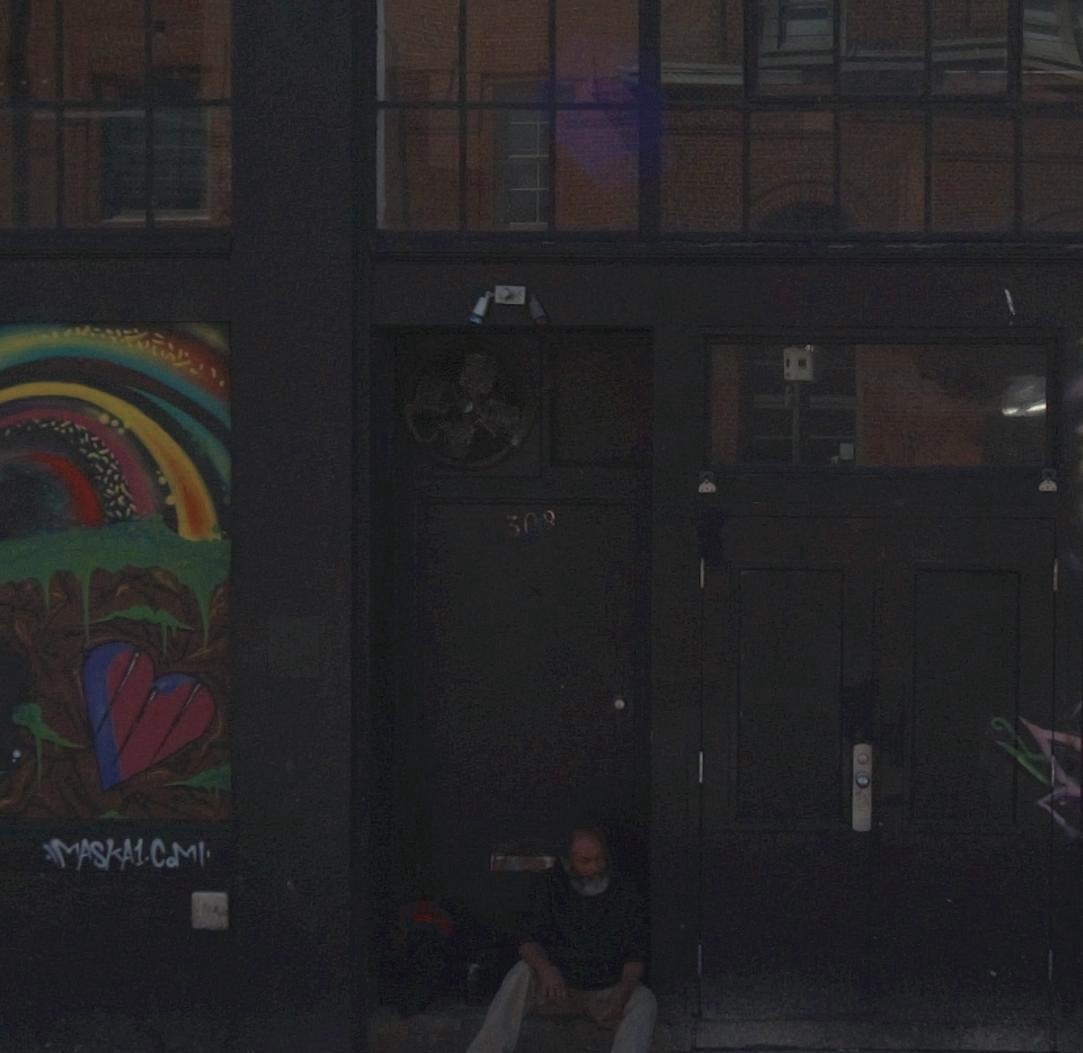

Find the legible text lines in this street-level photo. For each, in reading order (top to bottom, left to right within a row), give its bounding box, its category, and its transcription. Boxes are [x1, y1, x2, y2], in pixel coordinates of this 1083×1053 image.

[503, 507, 561, 543] StreetNumber: 308
[48, 834, 202, 873] None: MASKA1.CoM